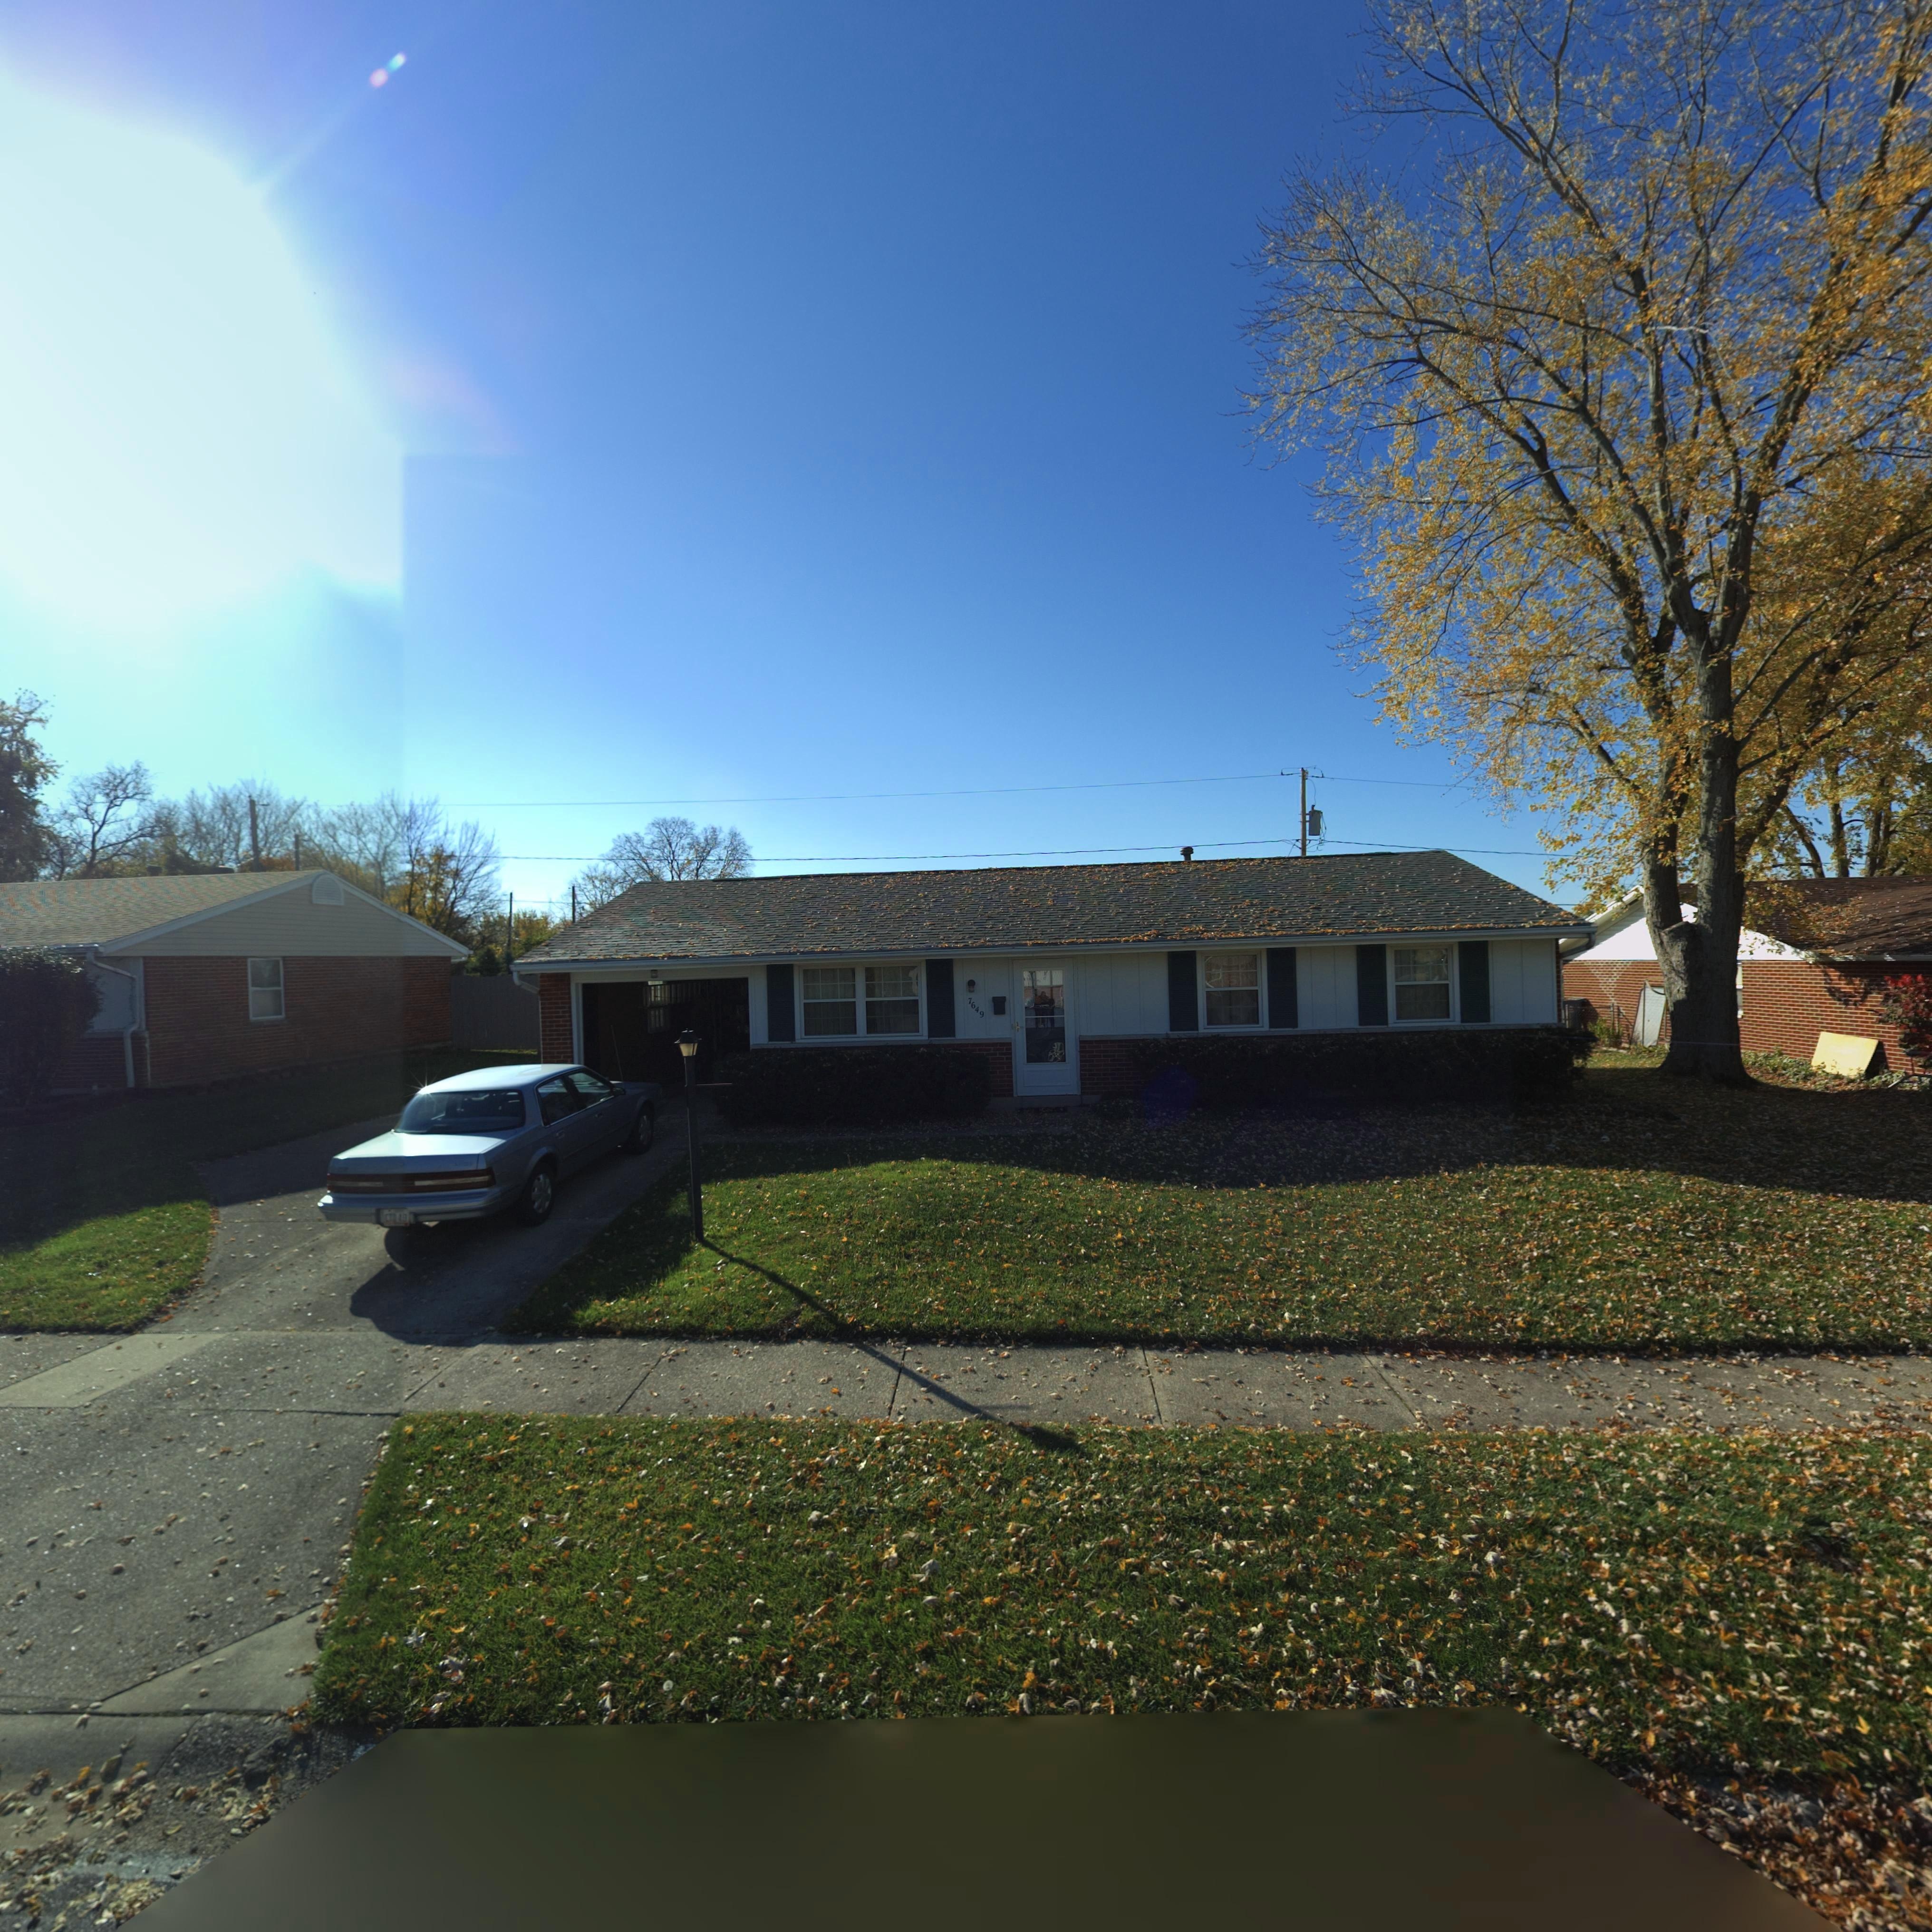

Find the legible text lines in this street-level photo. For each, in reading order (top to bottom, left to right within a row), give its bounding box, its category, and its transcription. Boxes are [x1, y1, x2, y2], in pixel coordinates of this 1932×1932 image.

[967, 996, 985, 1019] StreetNumber: 7649